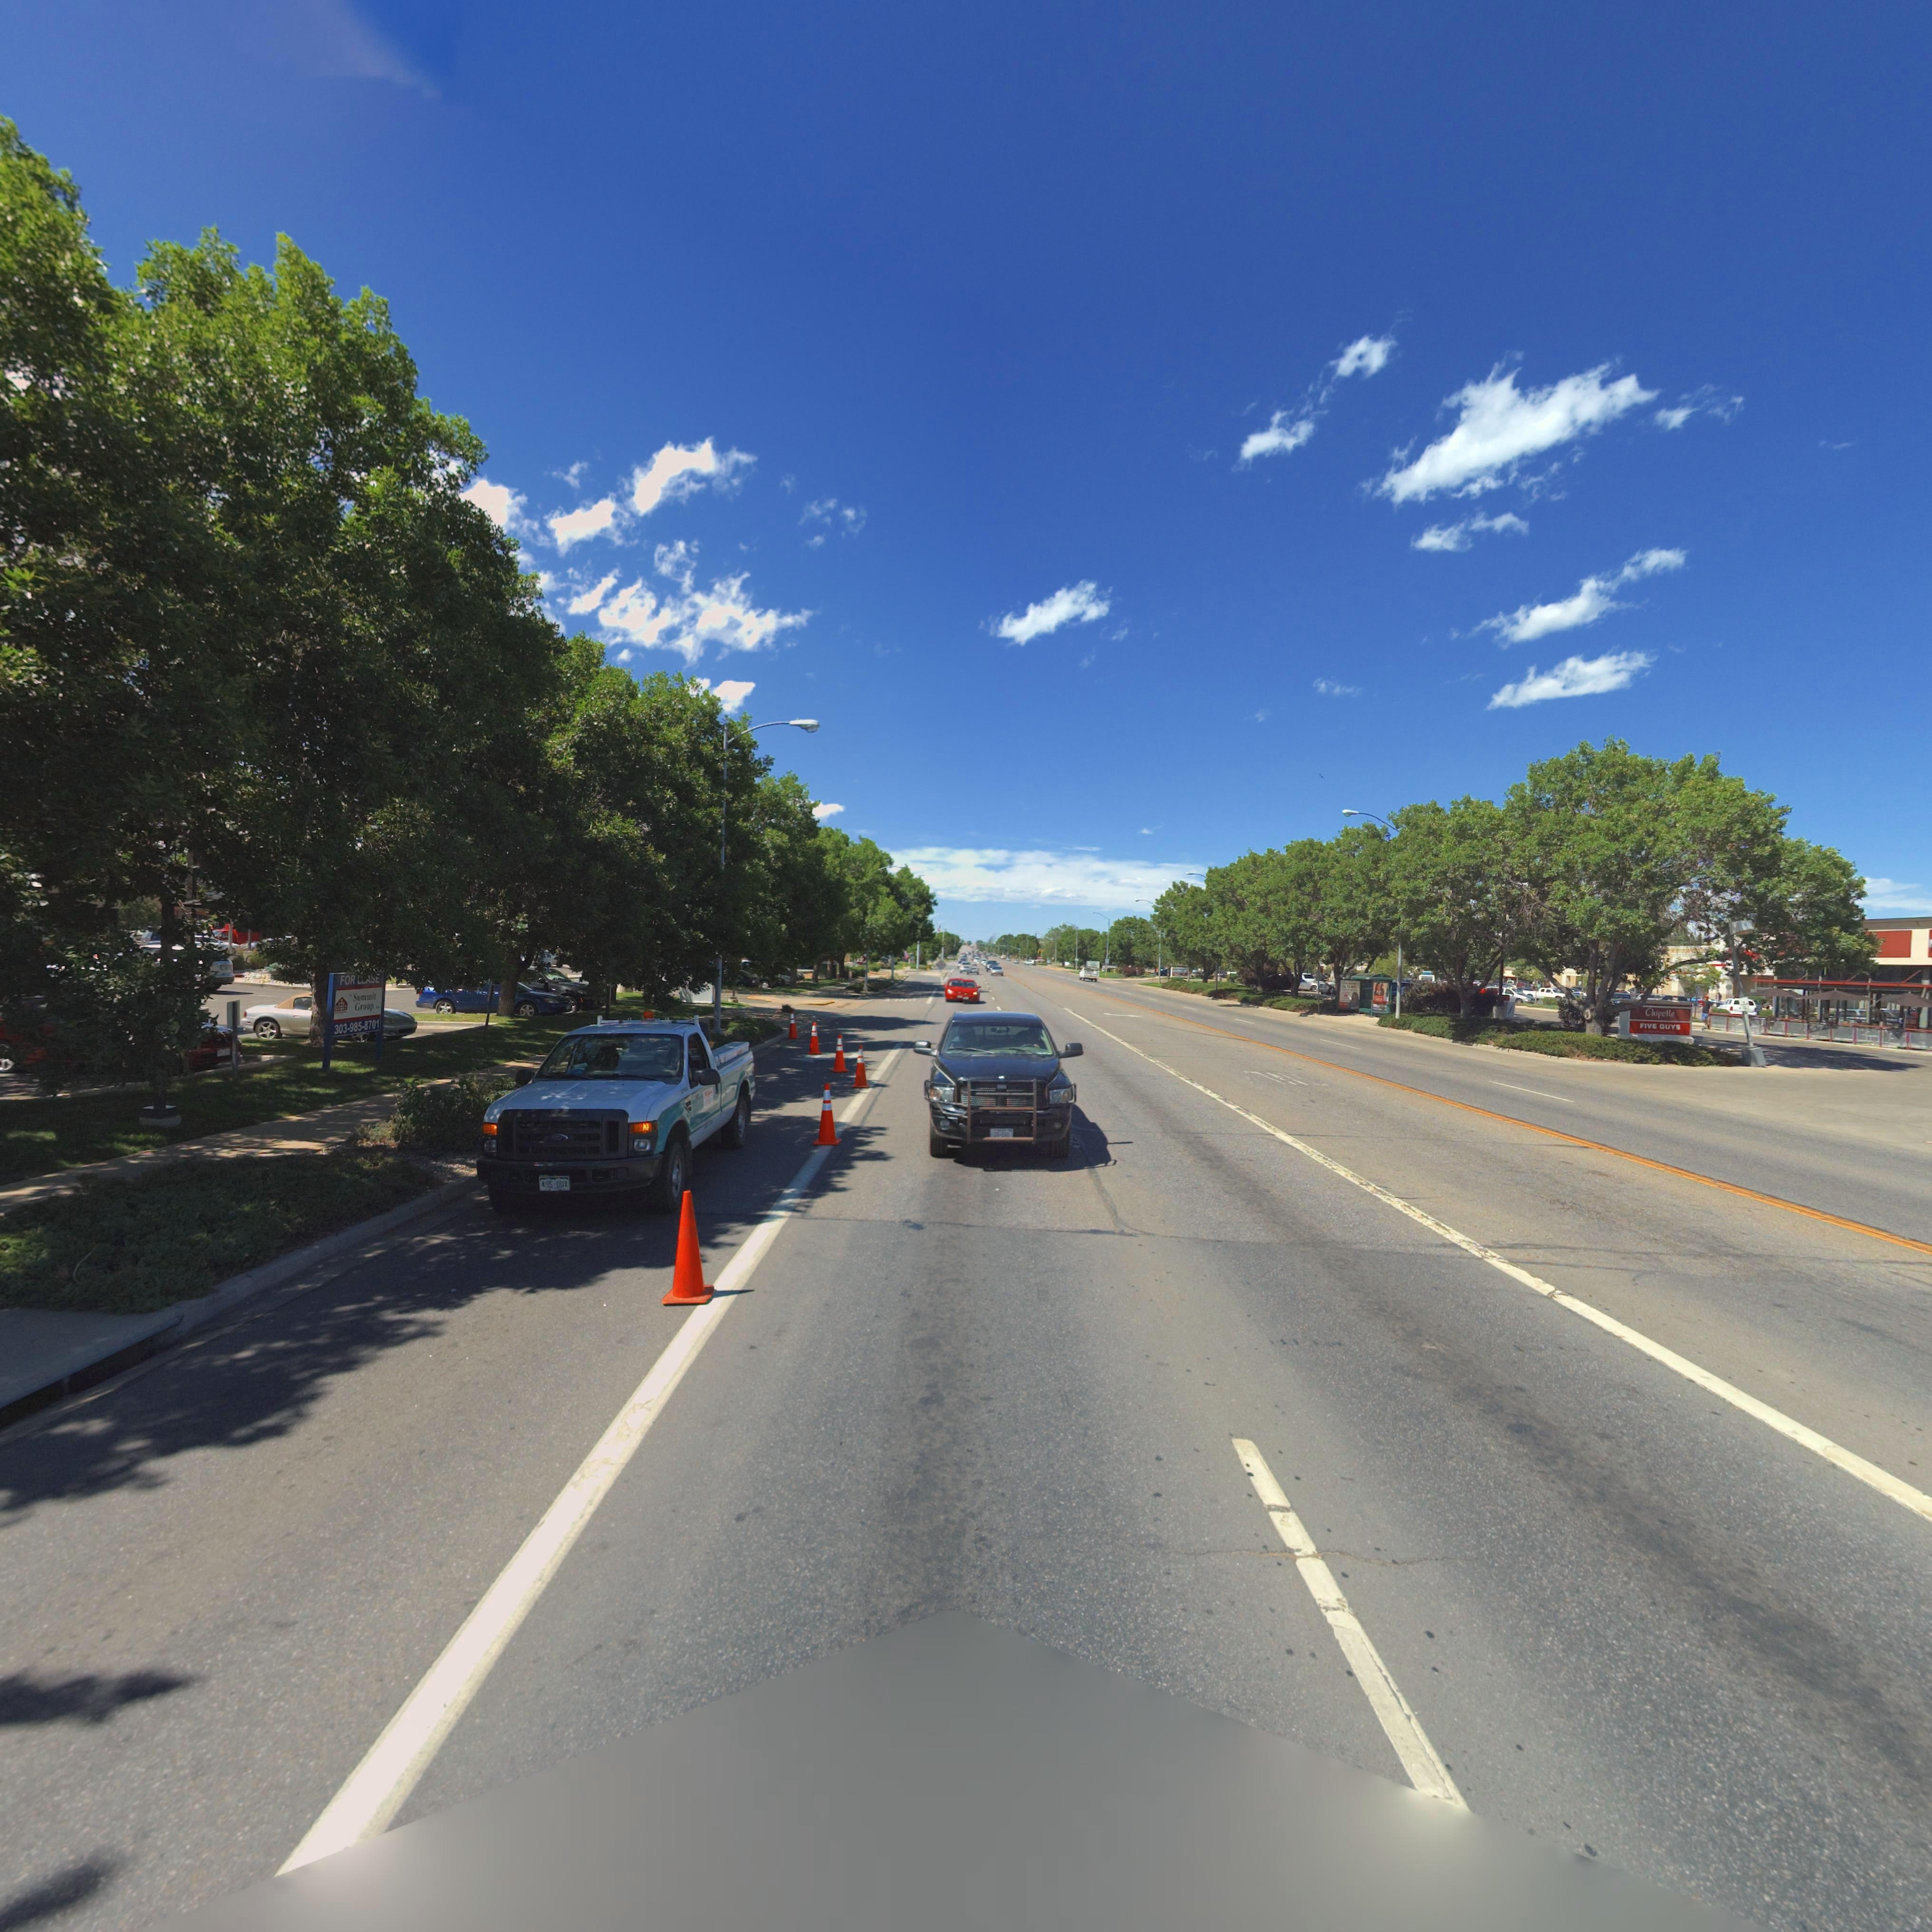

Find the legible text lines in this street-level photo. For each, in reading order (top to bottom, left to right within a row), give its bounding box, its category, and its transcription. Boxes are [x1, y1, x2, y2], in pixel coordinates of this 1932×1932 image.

[1644, 1007, 1675, 1019] BusinessName: Chipotle
[1639, 1023, 1681, 1030] BusinessName: FIVE GUYS